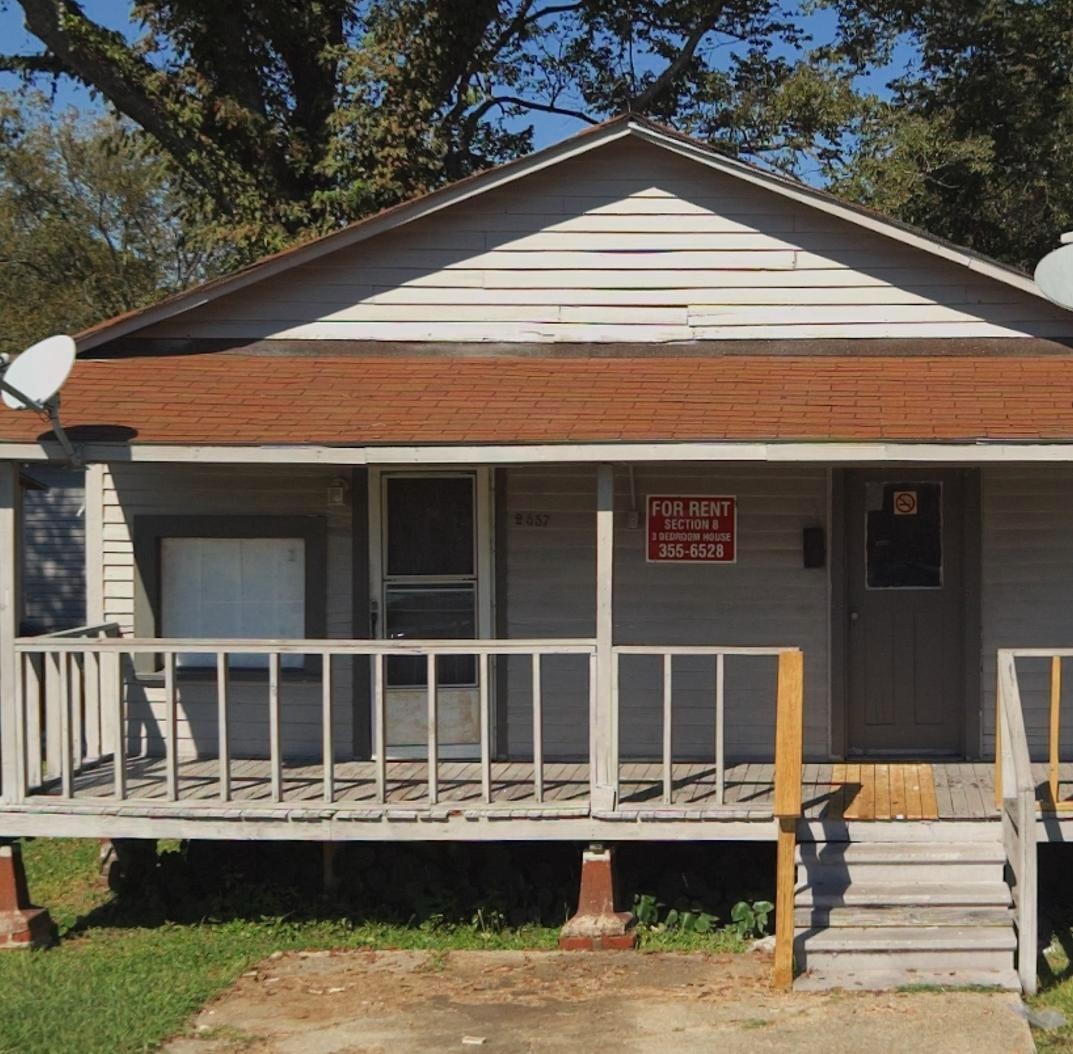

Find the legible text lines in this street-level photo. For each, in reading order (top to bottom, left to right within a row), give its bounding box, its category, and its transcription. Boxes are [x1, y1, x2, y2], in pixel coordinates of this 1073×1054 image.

[650, 499, 730, 517] None: FOR RENT
[515, 512, 551, 528] StreetNumber: 2657
[663, 517, 720, 531] None: SECTION 8
[650, 531, 732, 542] None: 3 BEDROOM HOUSE
[658, 542, 725, 559] None: 355-6528